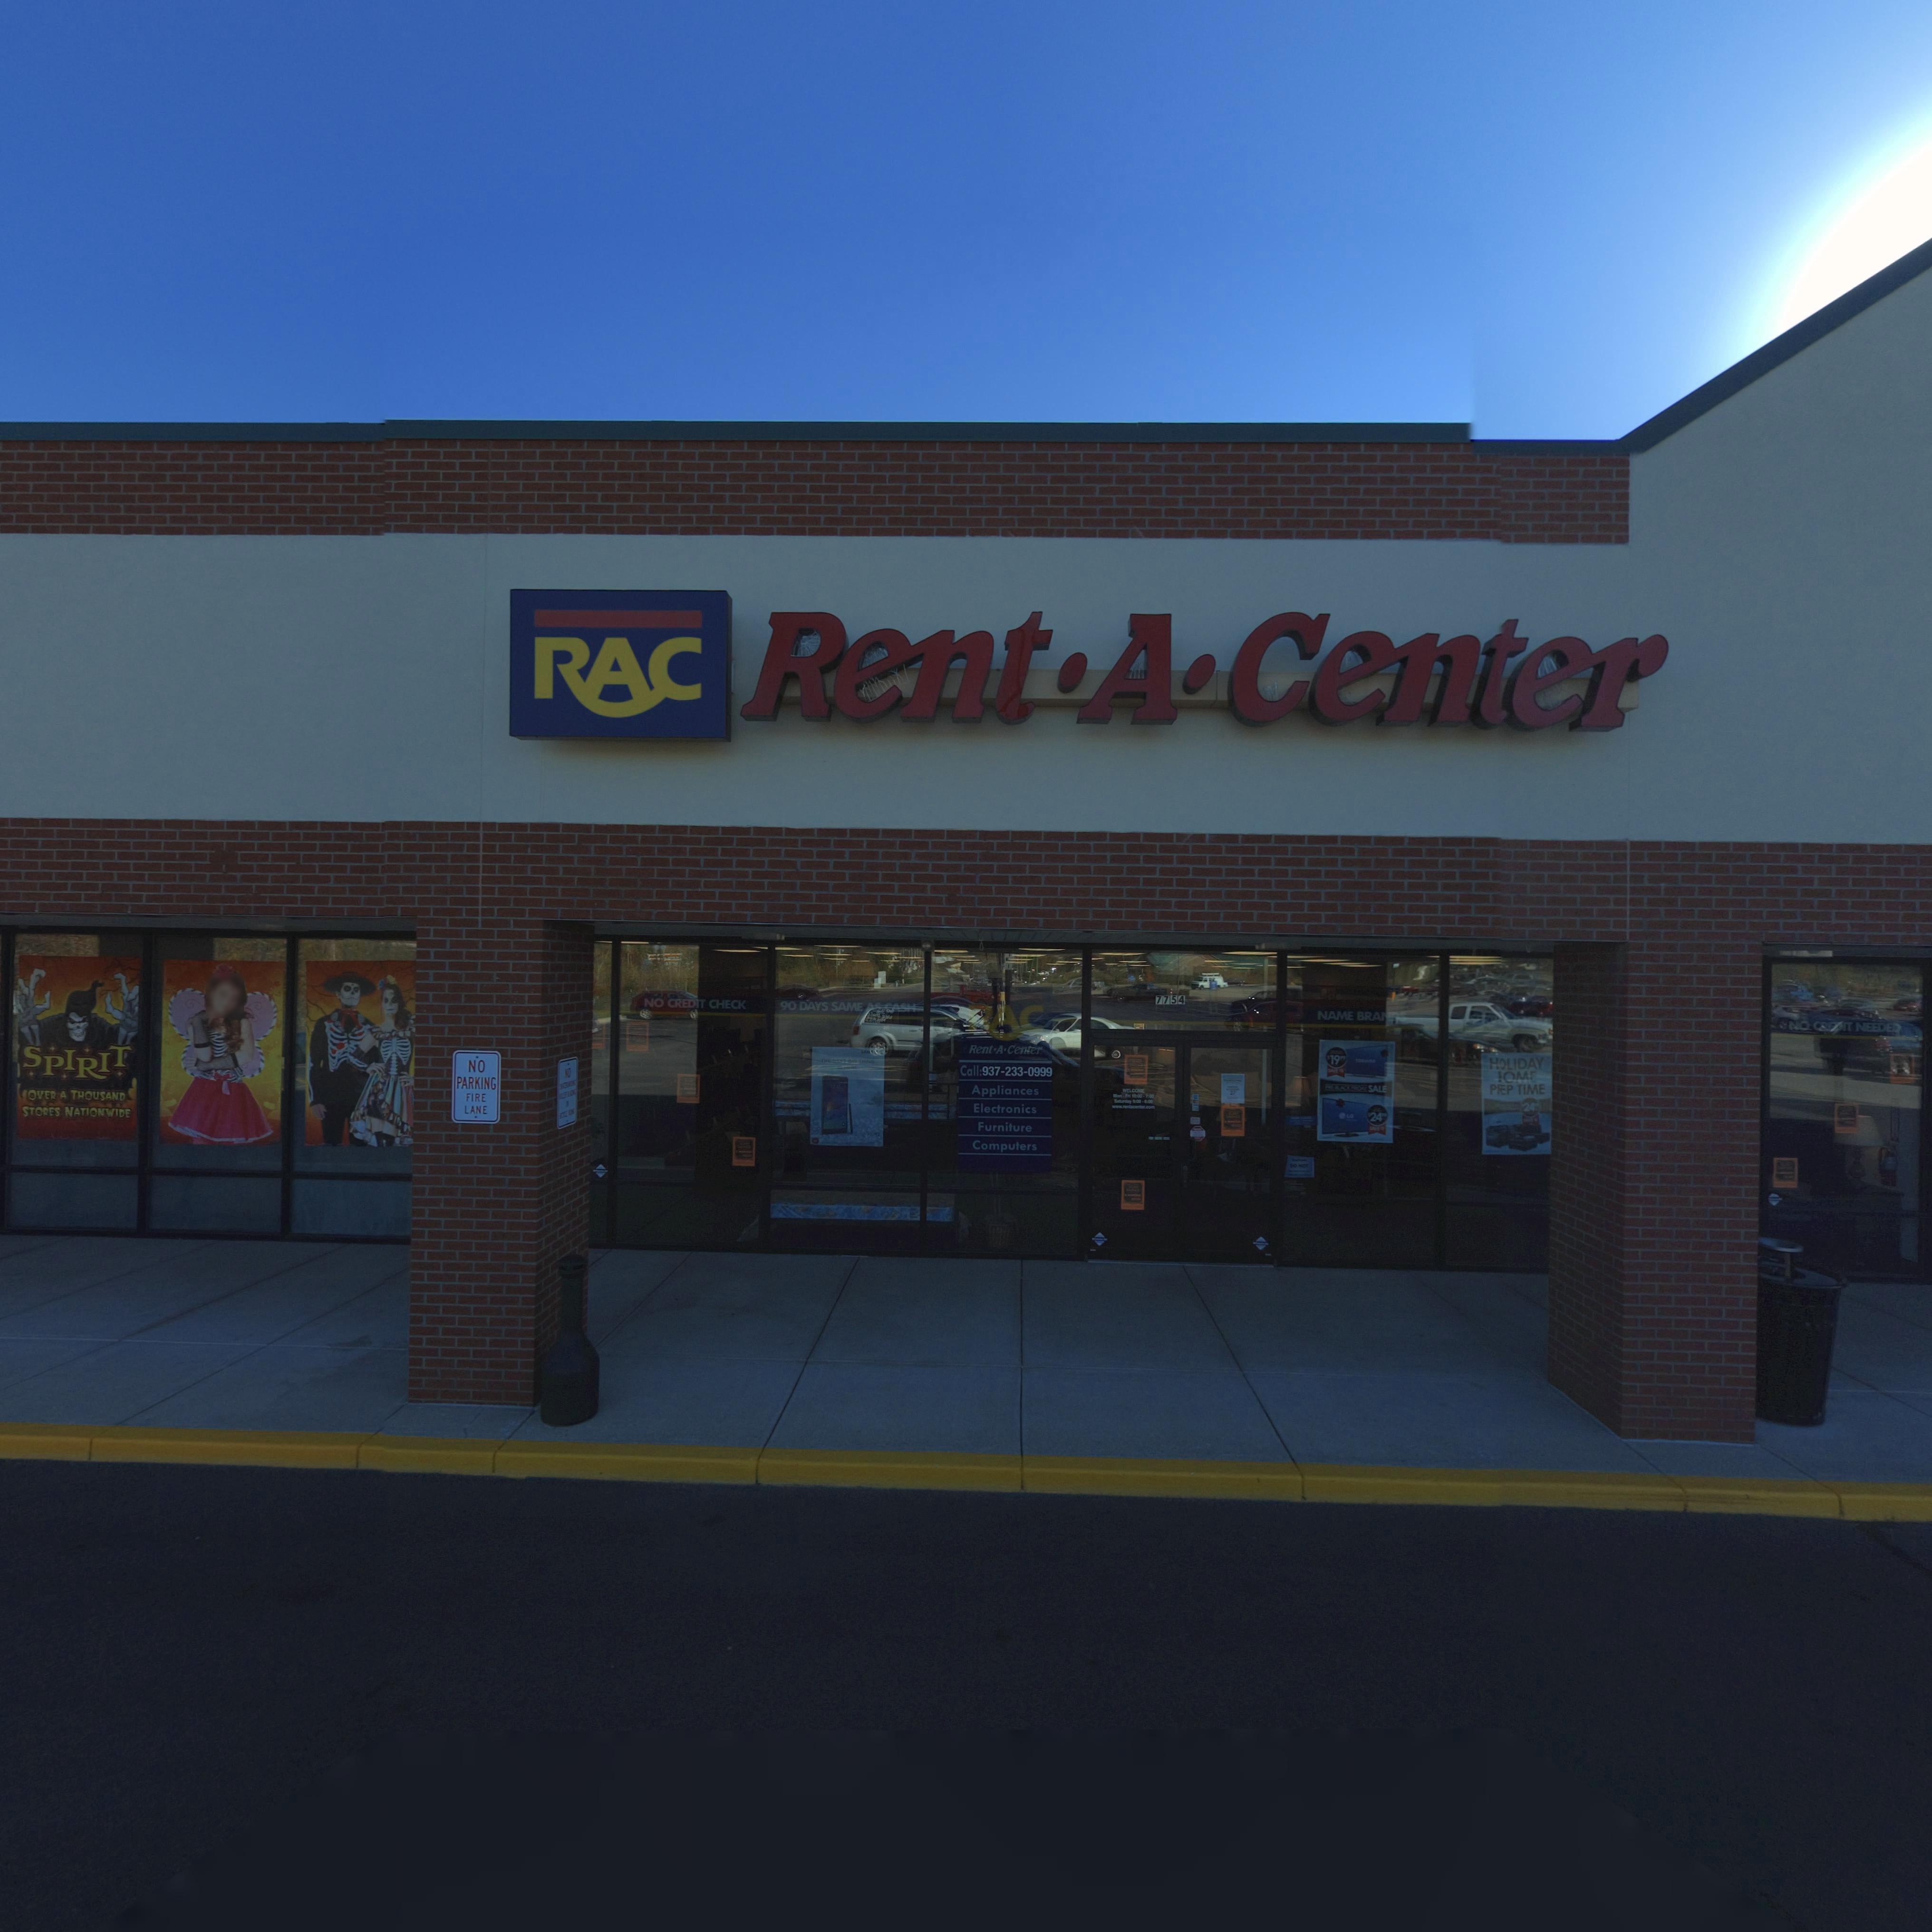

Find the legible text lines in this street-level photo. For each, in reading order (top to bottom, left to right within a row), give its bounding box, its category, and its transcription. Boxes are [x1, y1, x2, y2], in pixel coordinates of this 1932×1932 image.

[1156, 995, 1185, 1005] StreetNumber: 7754